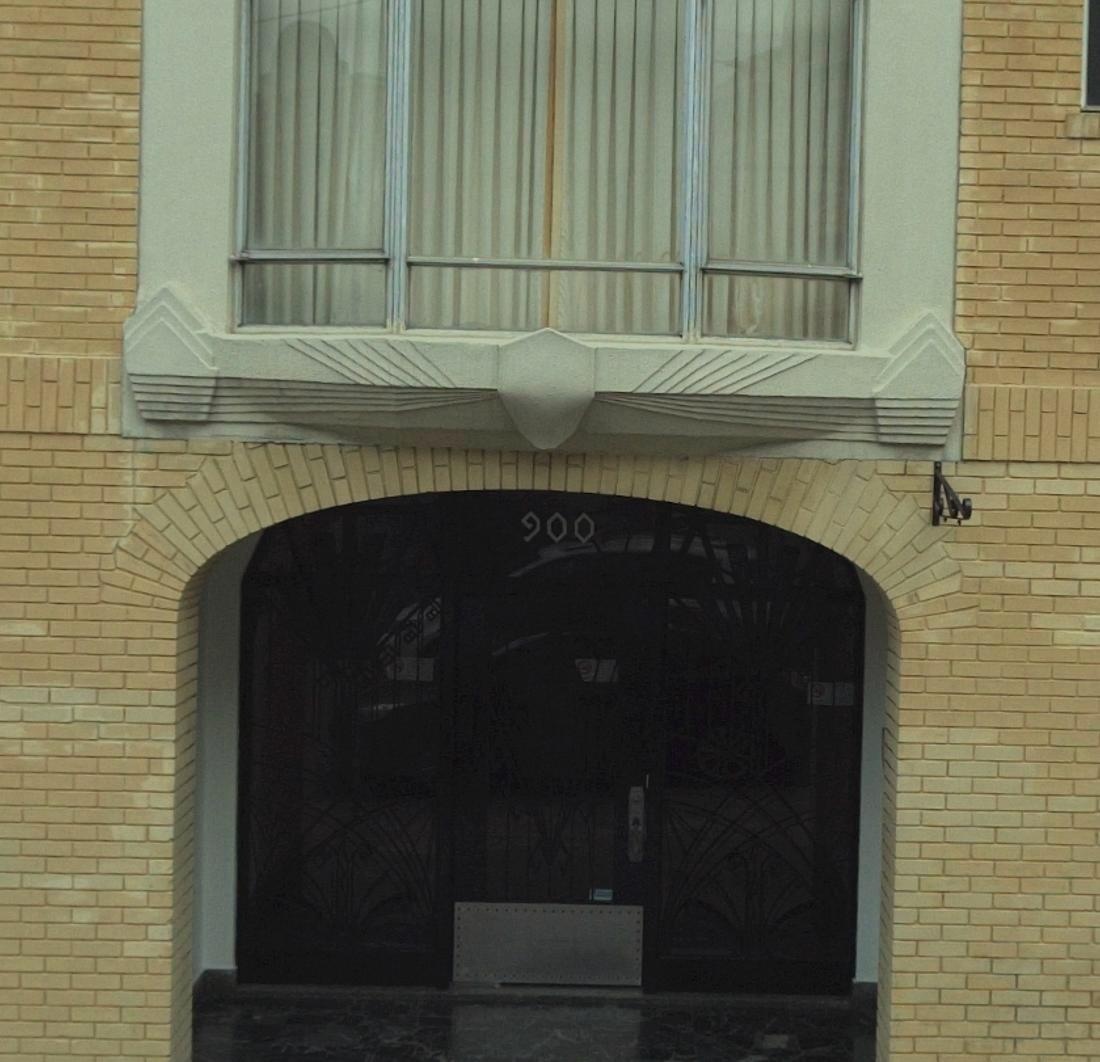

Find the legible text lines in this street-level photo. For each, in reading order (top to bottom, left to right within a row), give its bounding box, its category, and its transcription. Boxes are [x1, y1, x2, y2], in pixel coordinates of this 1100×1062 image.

[519, 509, 597, 545] StreetNumber: 900